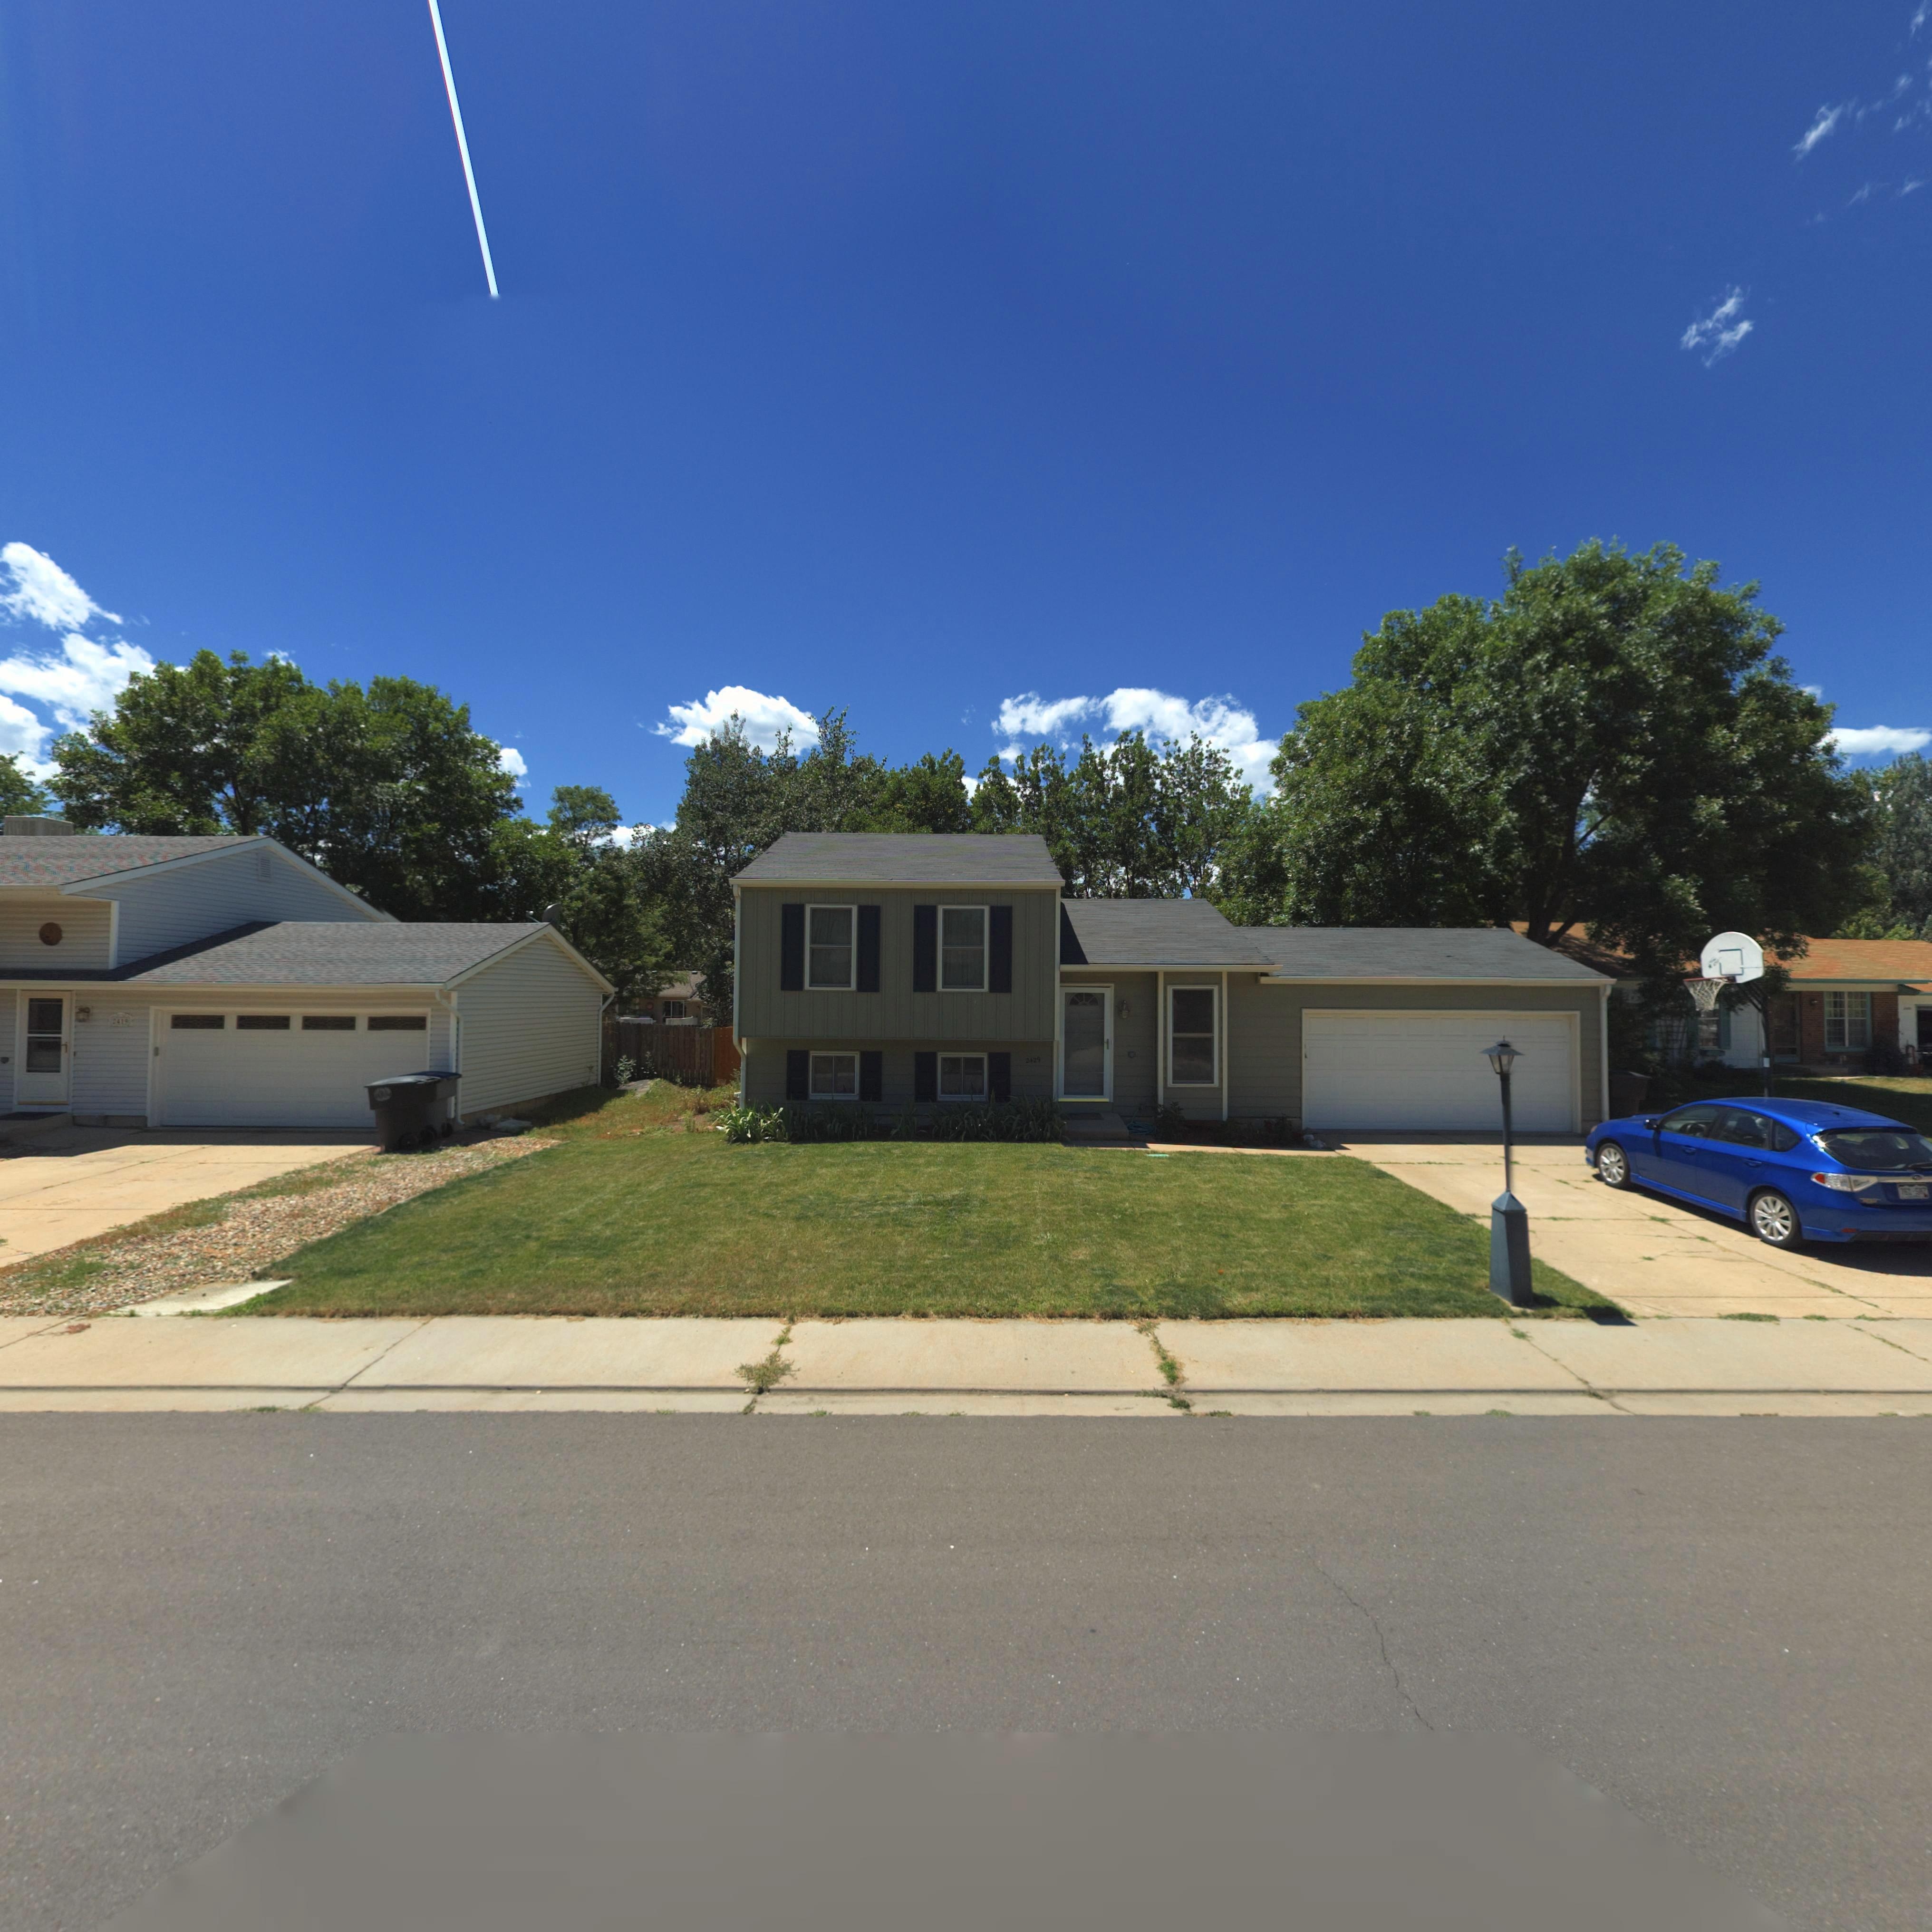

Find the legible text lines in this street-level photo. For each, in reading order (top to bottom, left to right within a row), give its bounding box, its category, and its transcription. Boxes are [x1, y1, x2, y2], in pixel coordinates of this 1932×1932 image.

[112, 1017, 129, 1025] StreetNumber: 2419
[1025, 1056, 1041, 1063] StreetNumber: 2429